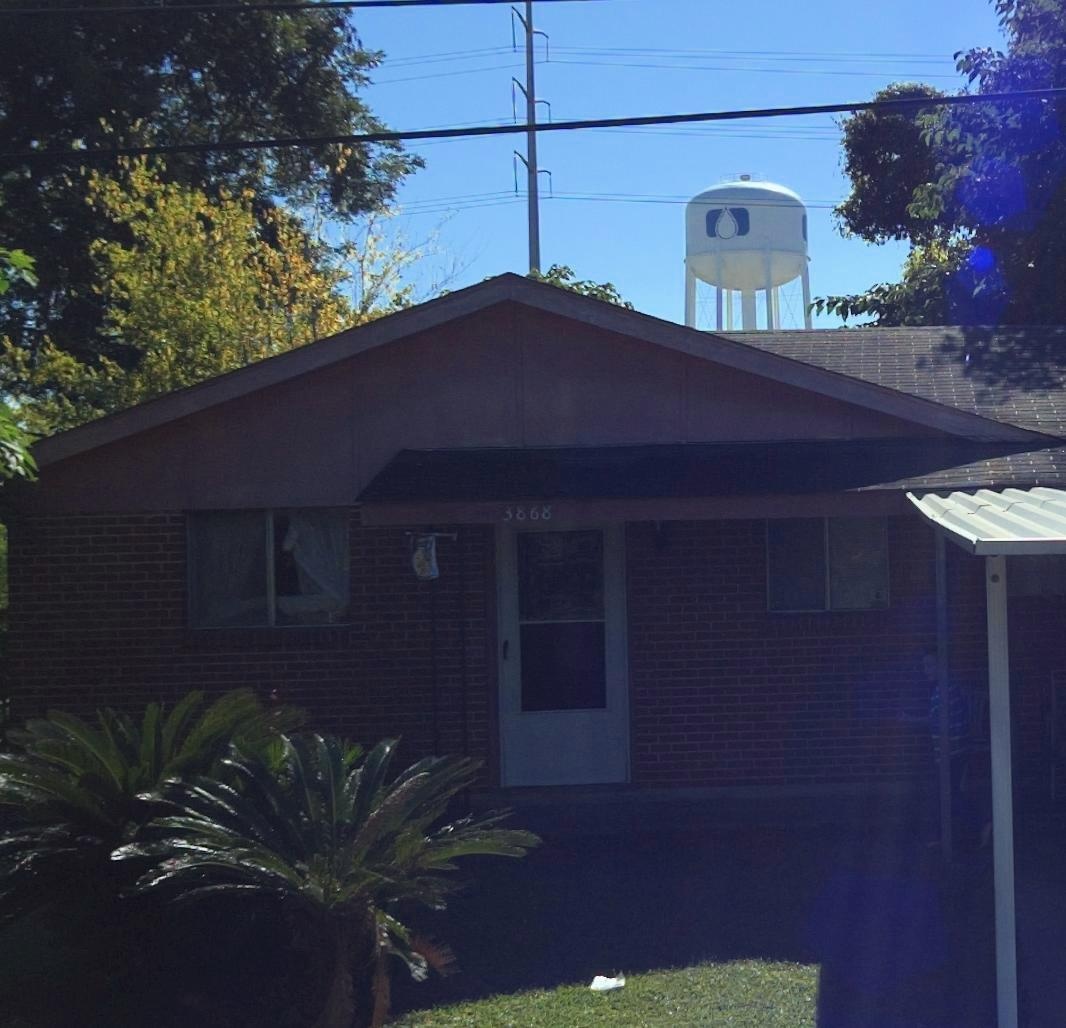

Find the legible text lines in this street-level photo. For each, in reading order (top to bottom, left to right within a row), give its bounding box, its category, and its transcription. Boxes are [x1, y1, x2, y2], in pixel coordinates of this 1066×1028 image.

[499, 502, 554, 524] StreetNumber: 3868